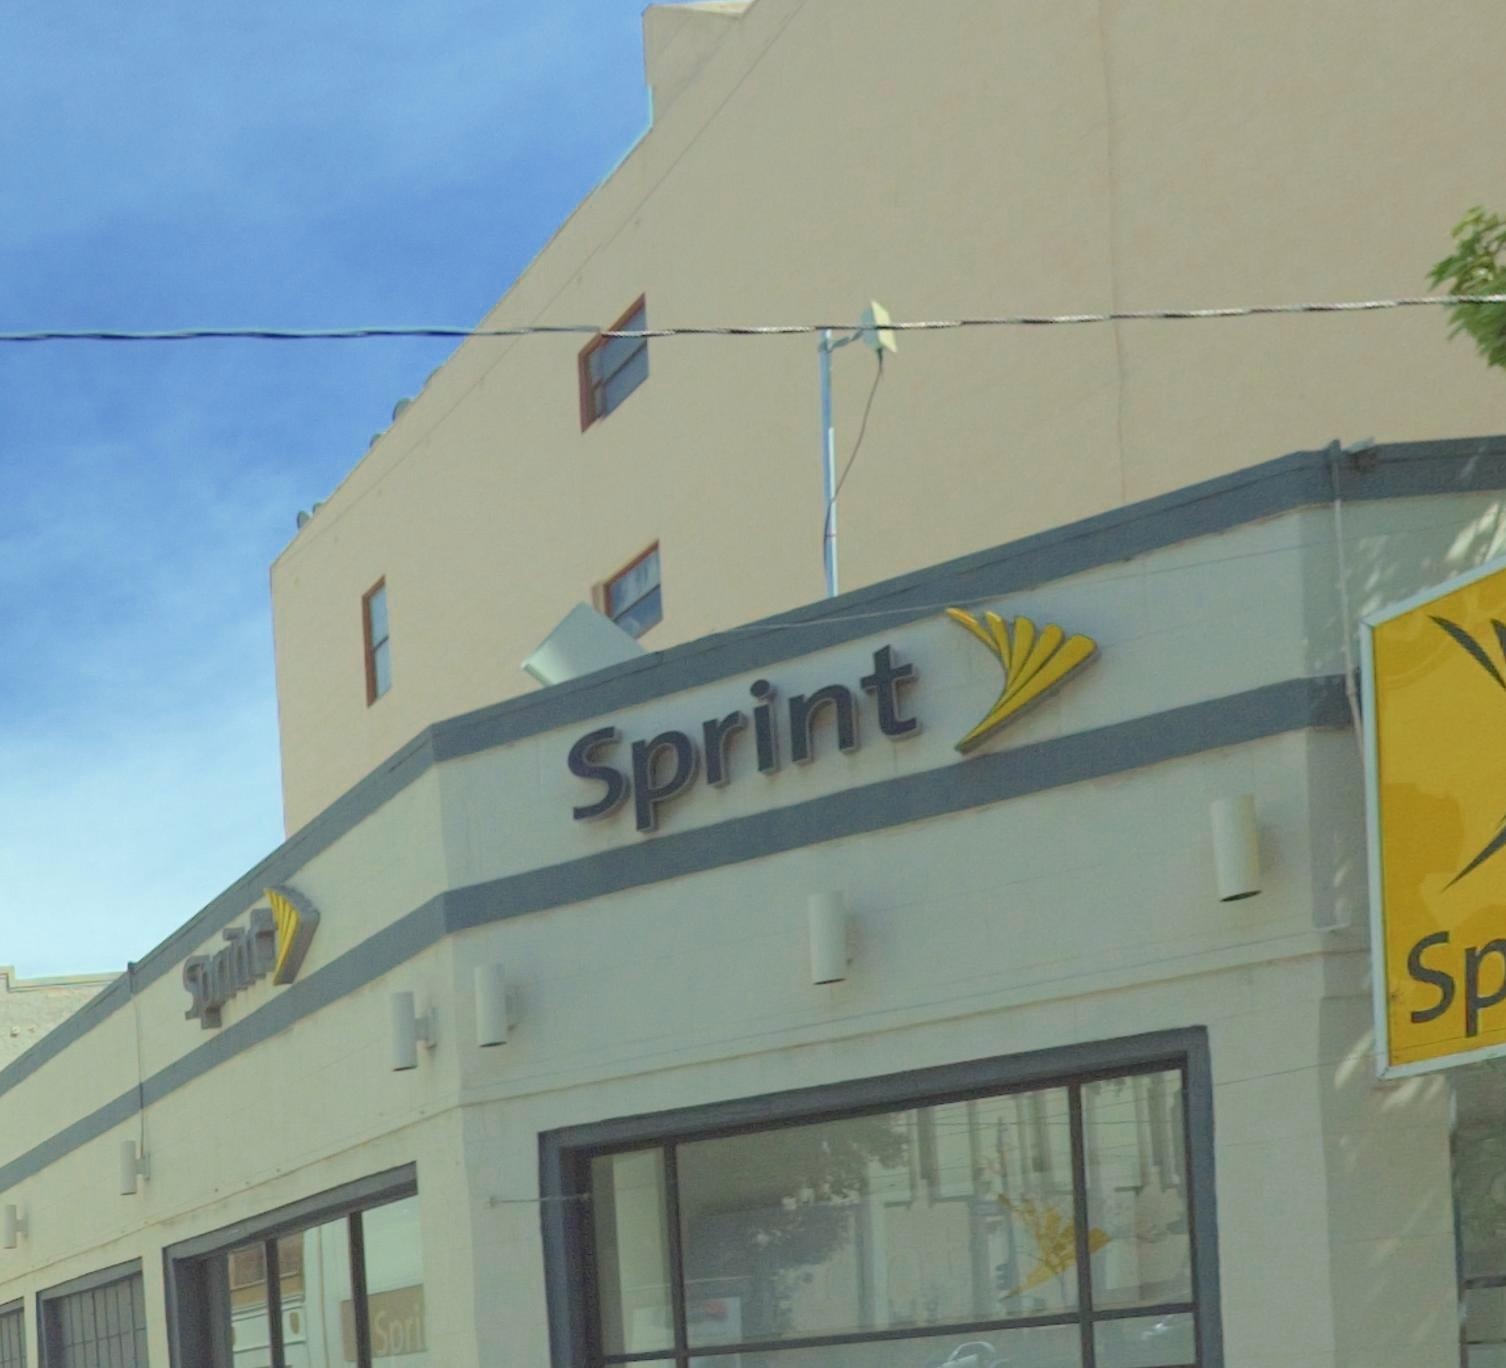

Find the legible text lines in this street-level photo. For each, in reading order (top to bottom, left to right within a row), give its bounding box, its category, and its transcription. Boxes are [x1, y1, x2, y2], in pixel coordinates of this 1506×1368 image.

[566, 639, 921, 834] BusinessName: Sprint
[180, 905, 269, 1033] BusinessName: Sprint
[1403, 923, 1462, 1029] BusinessName: S
[372, 1296, 424, 1368] None: Spri